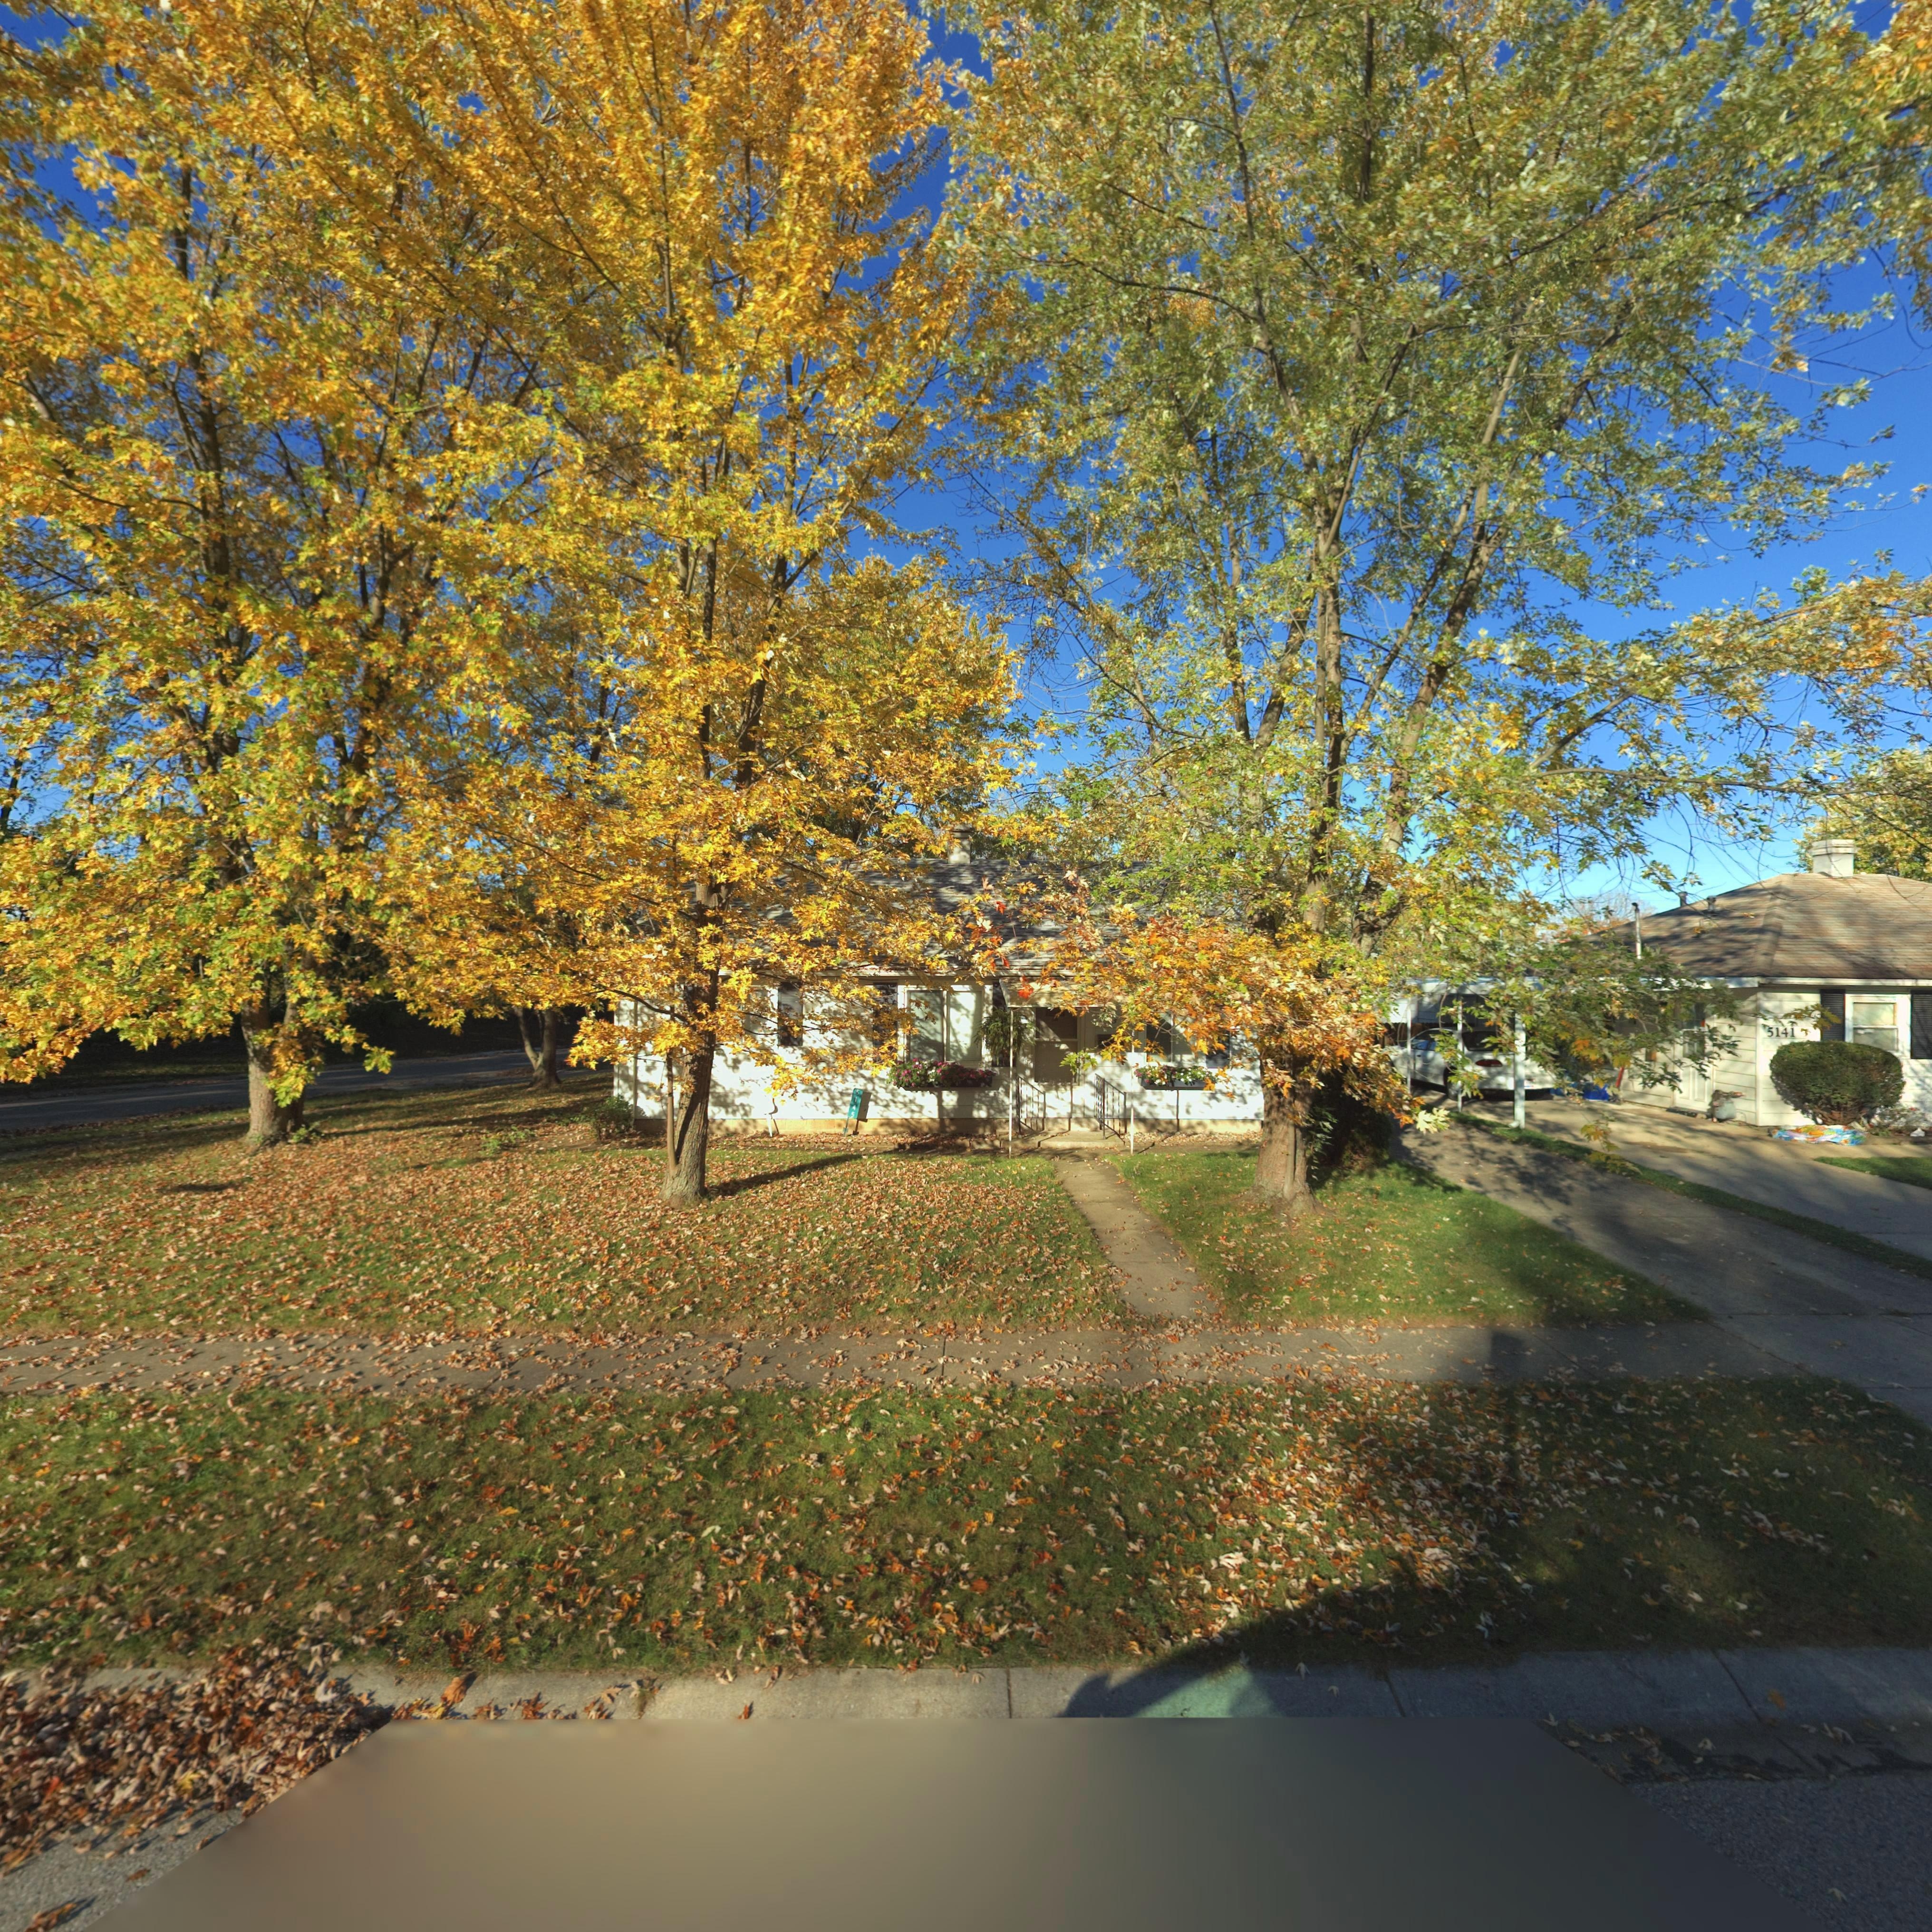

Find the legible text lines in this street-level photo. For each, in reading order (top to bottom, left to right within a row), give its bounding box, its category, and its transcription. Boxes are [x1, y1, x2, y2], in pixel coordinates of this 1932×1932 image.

[1111, 1018, 1119, 1024] StreetNumber: 3
[1767, 1026, 1796, 1037] StreetNumber: 5141